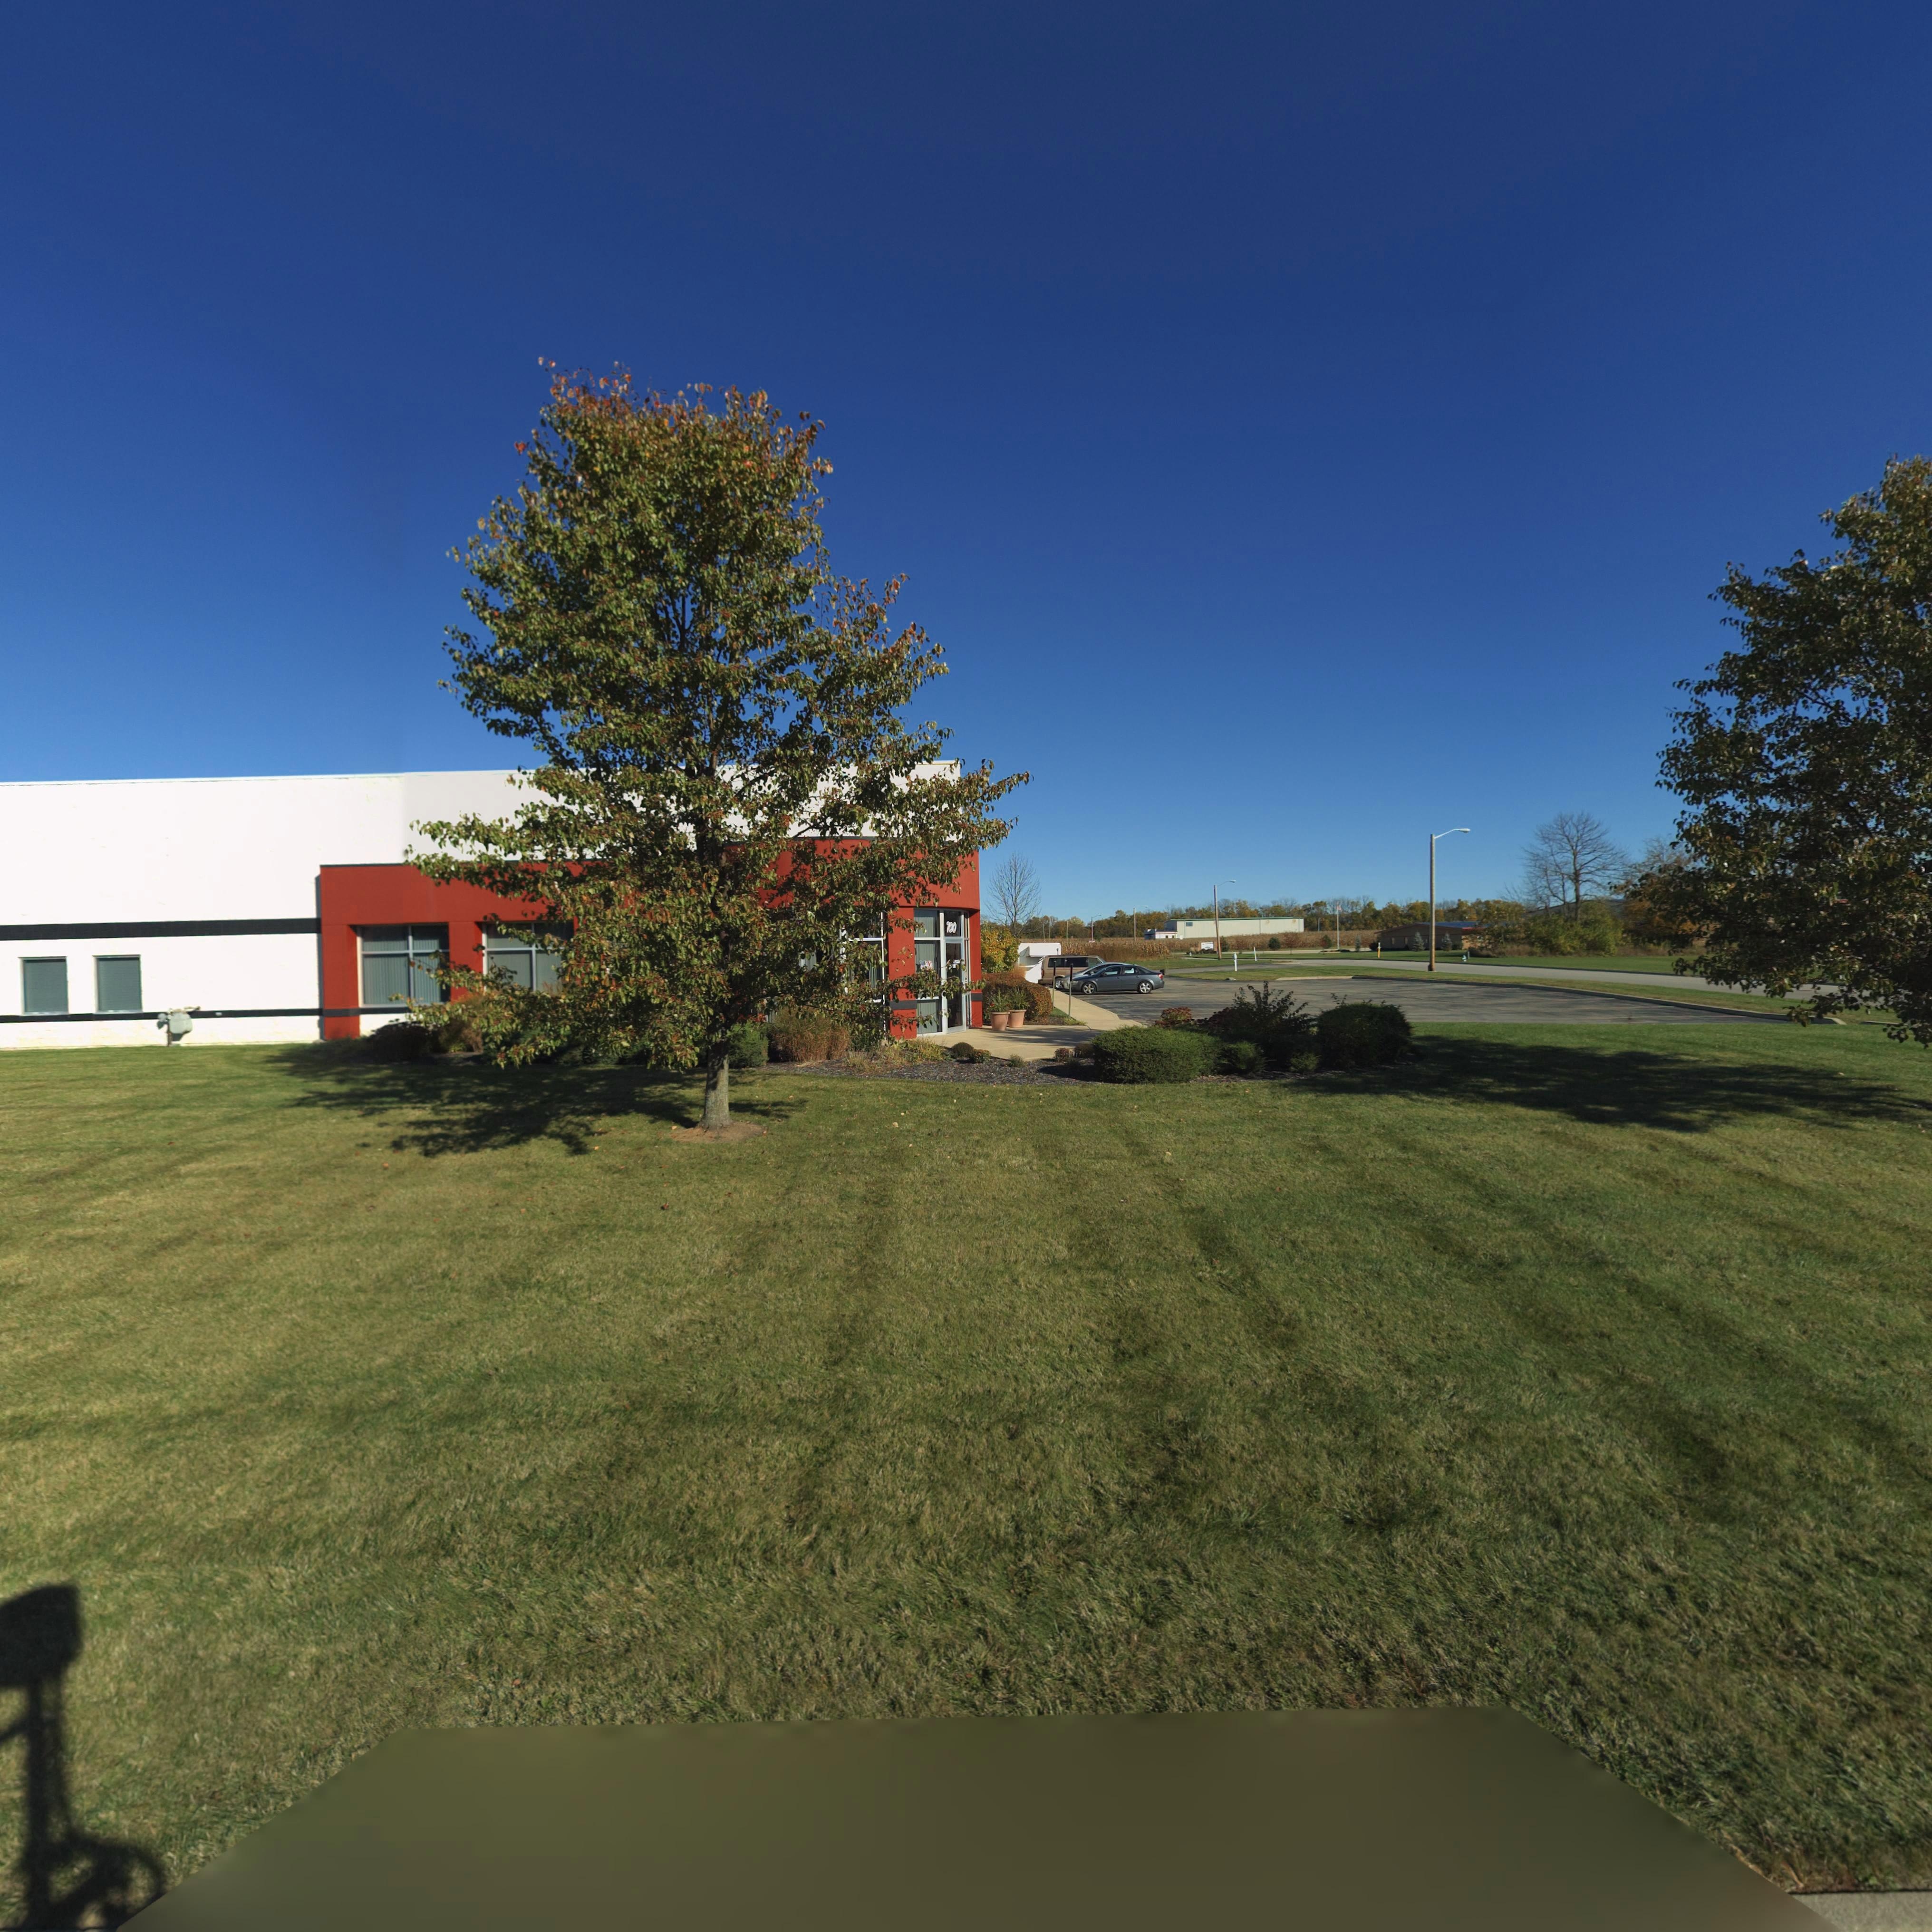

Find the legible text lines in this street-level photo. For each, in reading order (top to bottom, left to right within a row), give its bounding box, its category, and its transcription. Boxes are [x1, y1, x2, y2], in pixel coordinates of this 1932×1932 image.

[946, 920, 957, 934] StreetNumber: 700
[919, 959, 934, 971] StreetNumber: 700